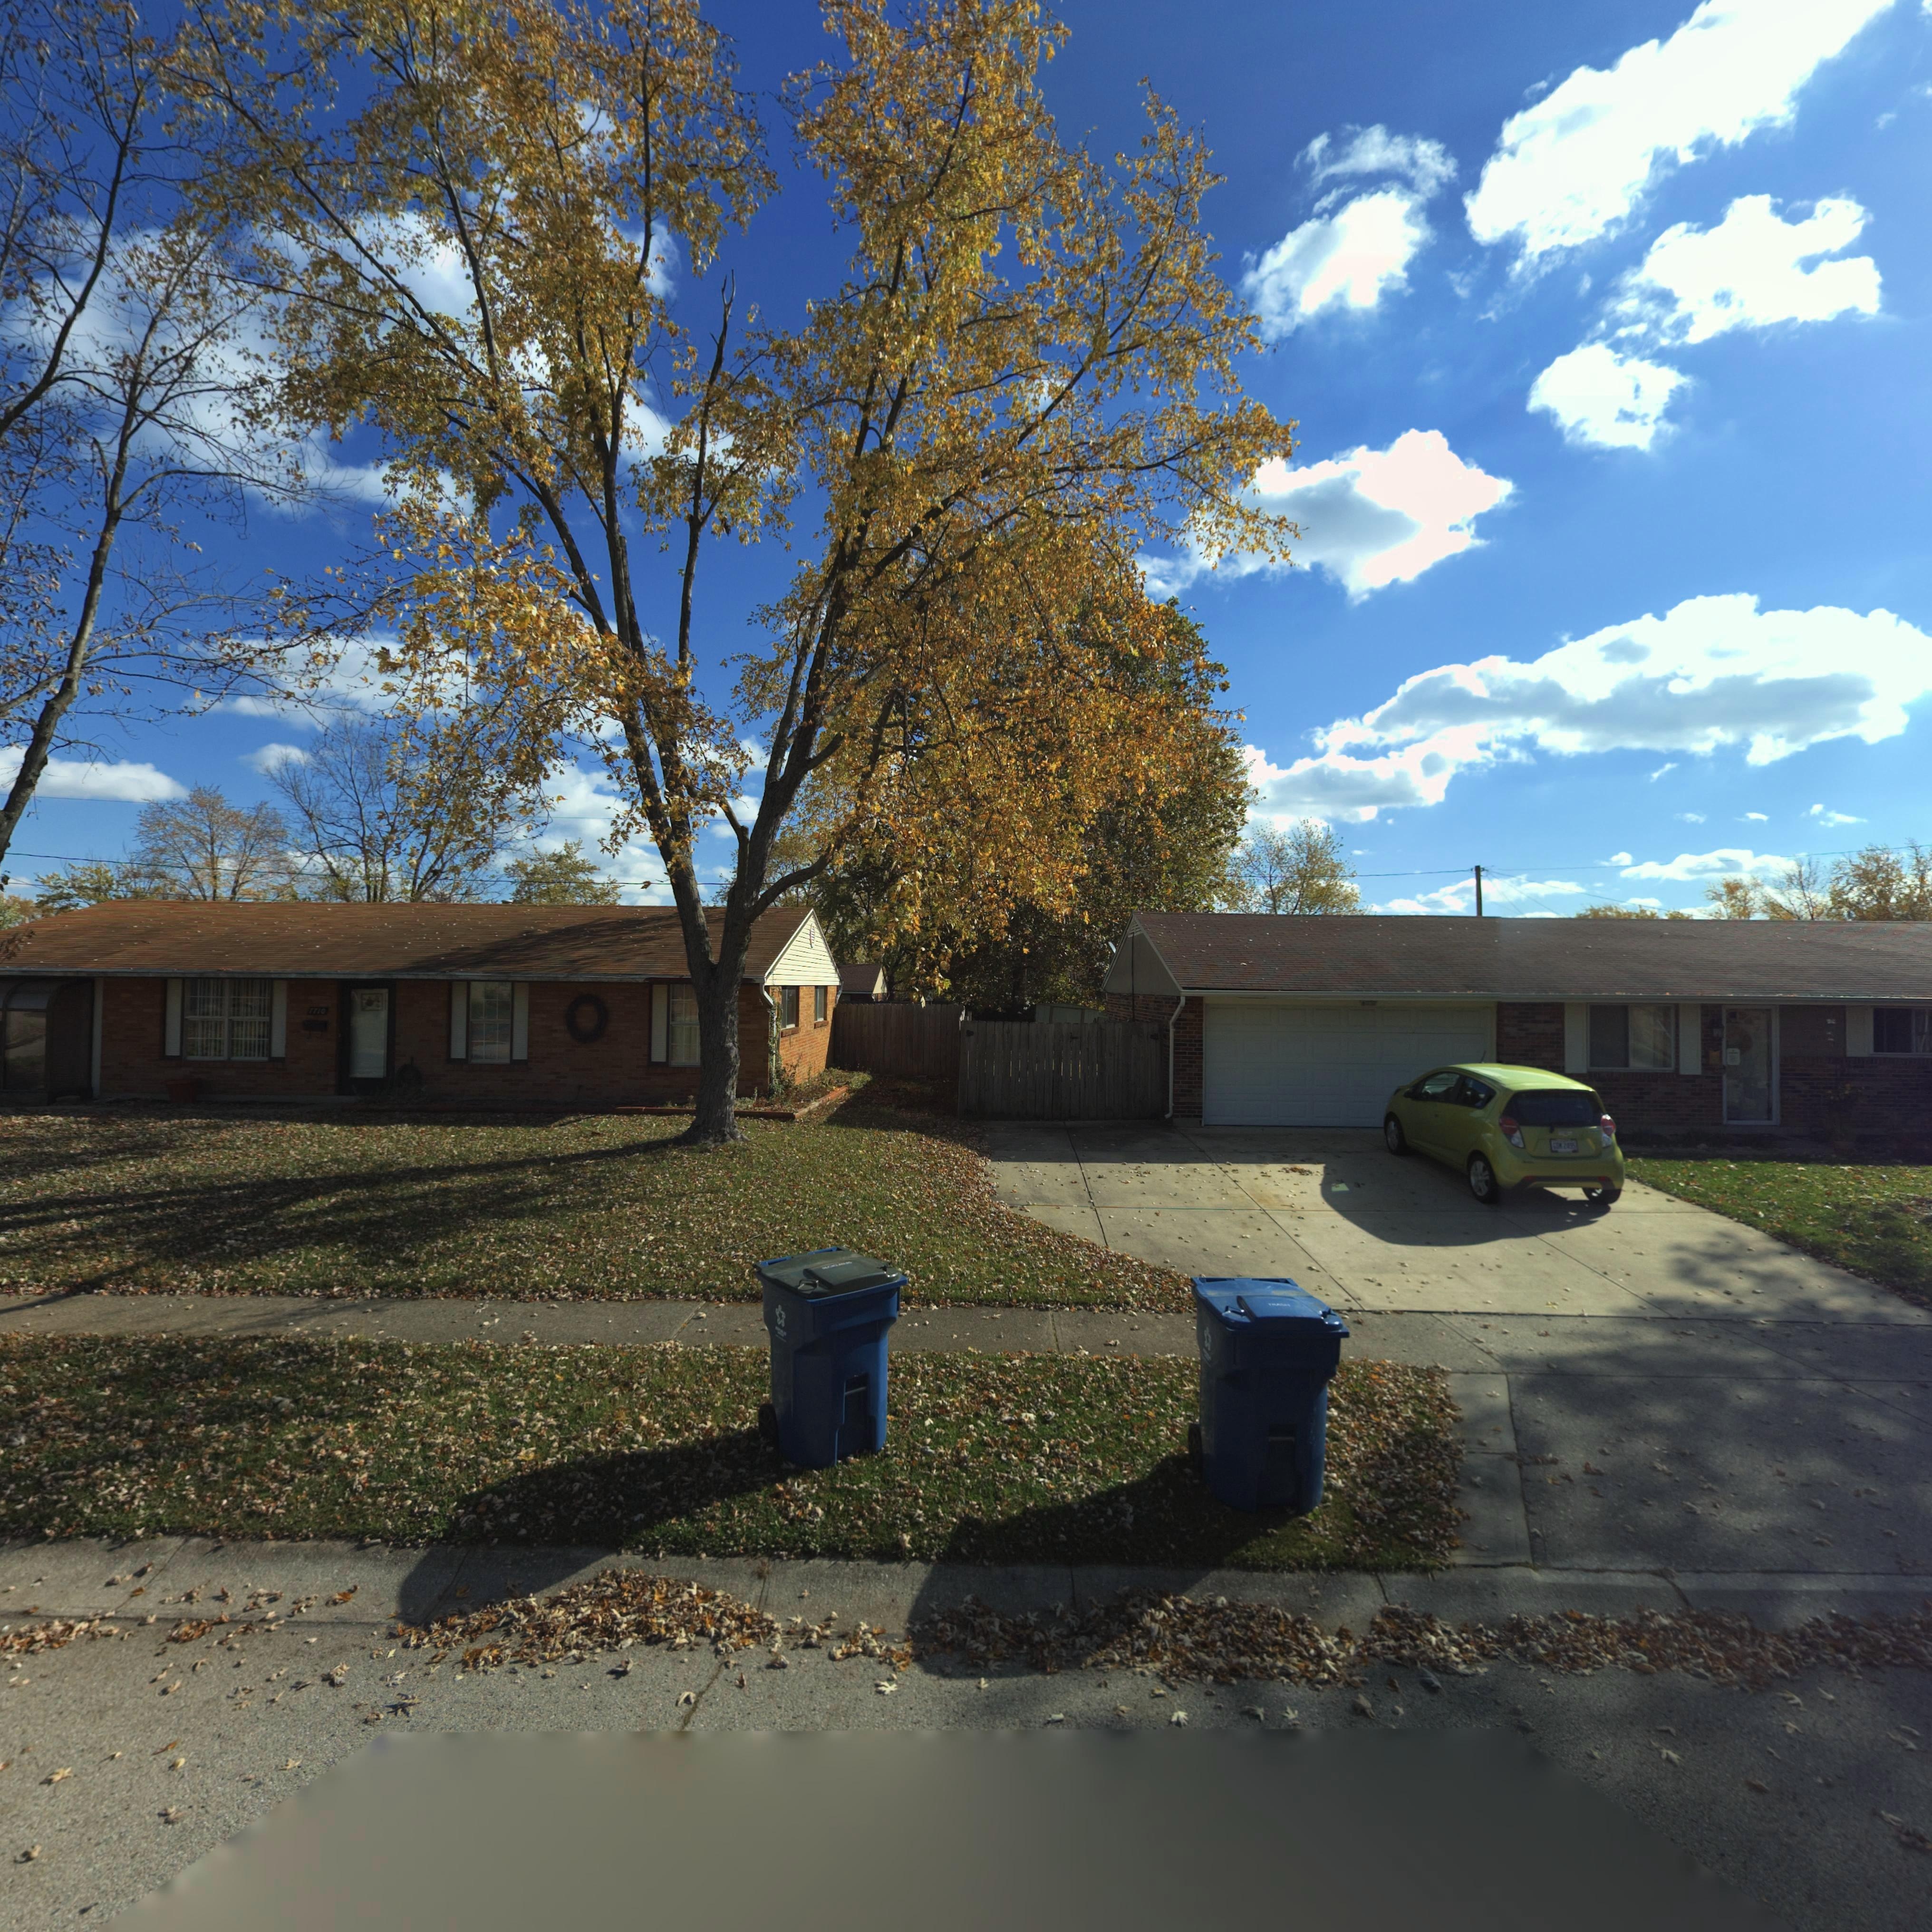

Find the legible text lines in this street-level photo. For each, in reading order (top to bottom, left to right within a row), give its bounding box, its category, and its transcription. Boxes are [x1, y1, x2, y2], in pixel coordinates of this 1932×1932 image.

[307, 1006, 328, 1016] StreetNumber: *710